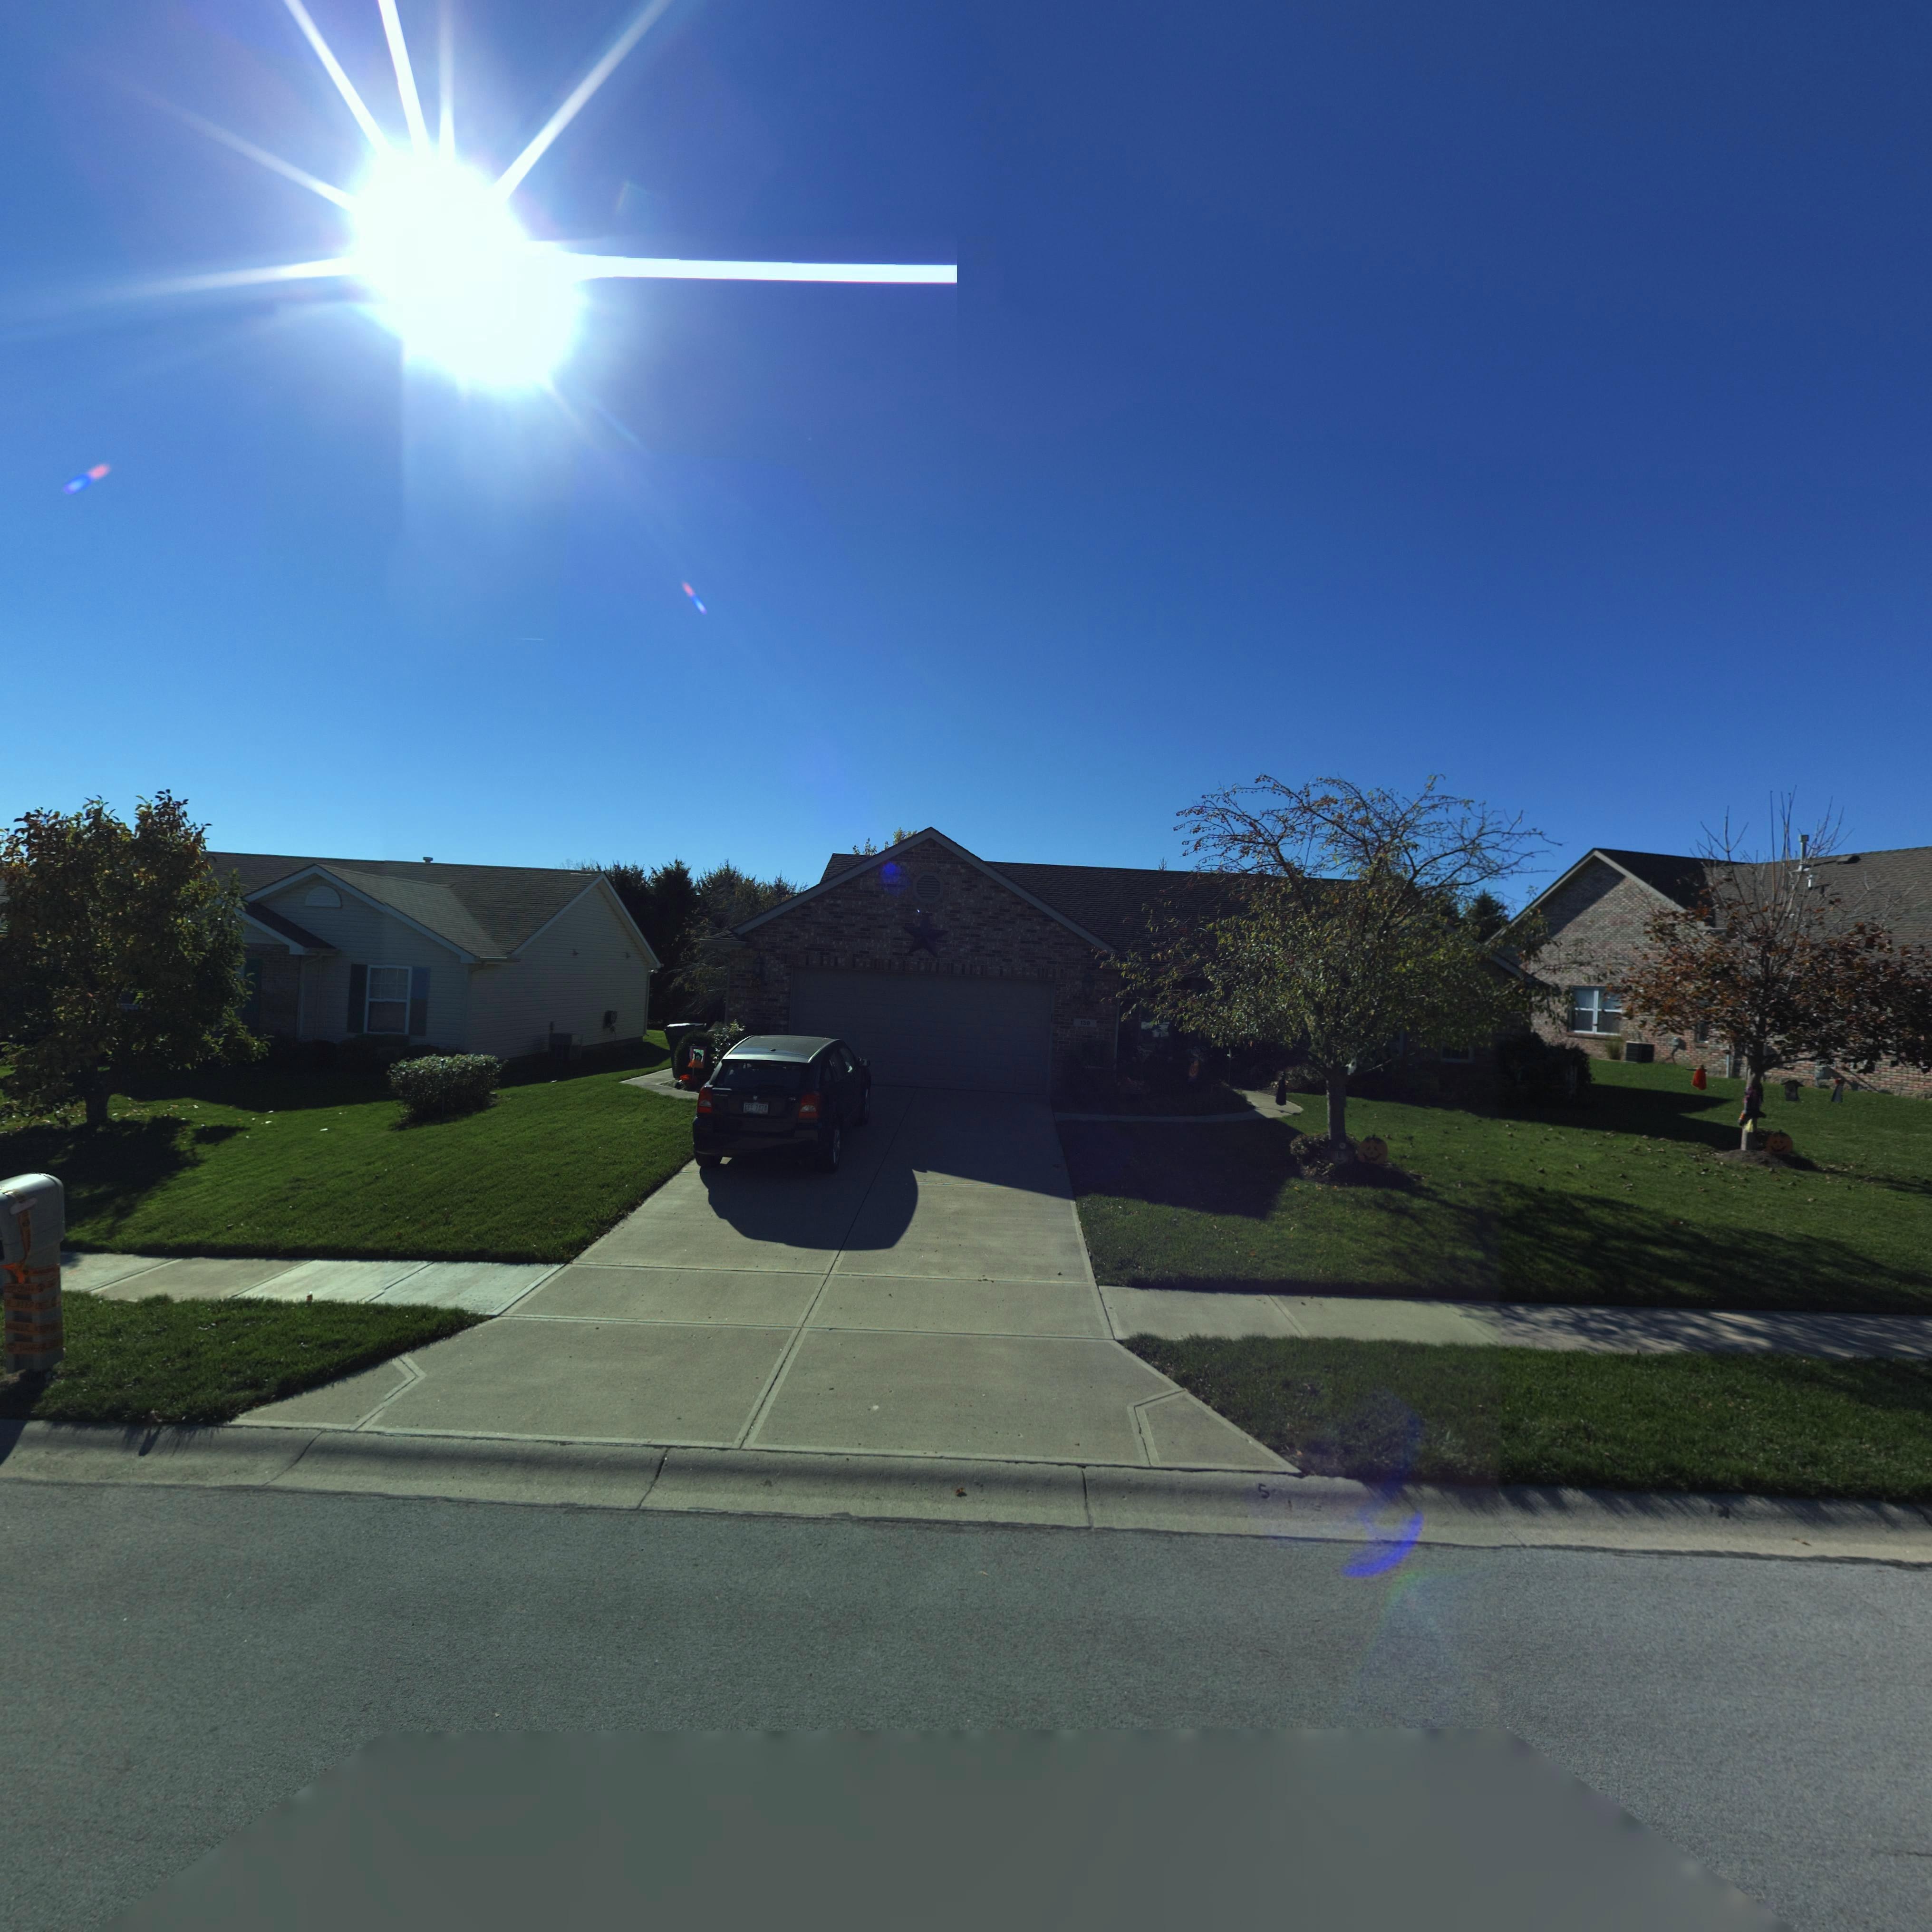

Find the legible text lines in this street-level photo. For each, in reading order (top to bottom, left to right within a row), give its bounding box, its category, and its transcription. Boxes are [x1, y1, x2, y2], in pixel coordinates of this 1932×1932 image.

[1080, 1020, 1091, 1026] StreetNumber: 139
[744, 1102, 768, 1112] None: EFE 7474